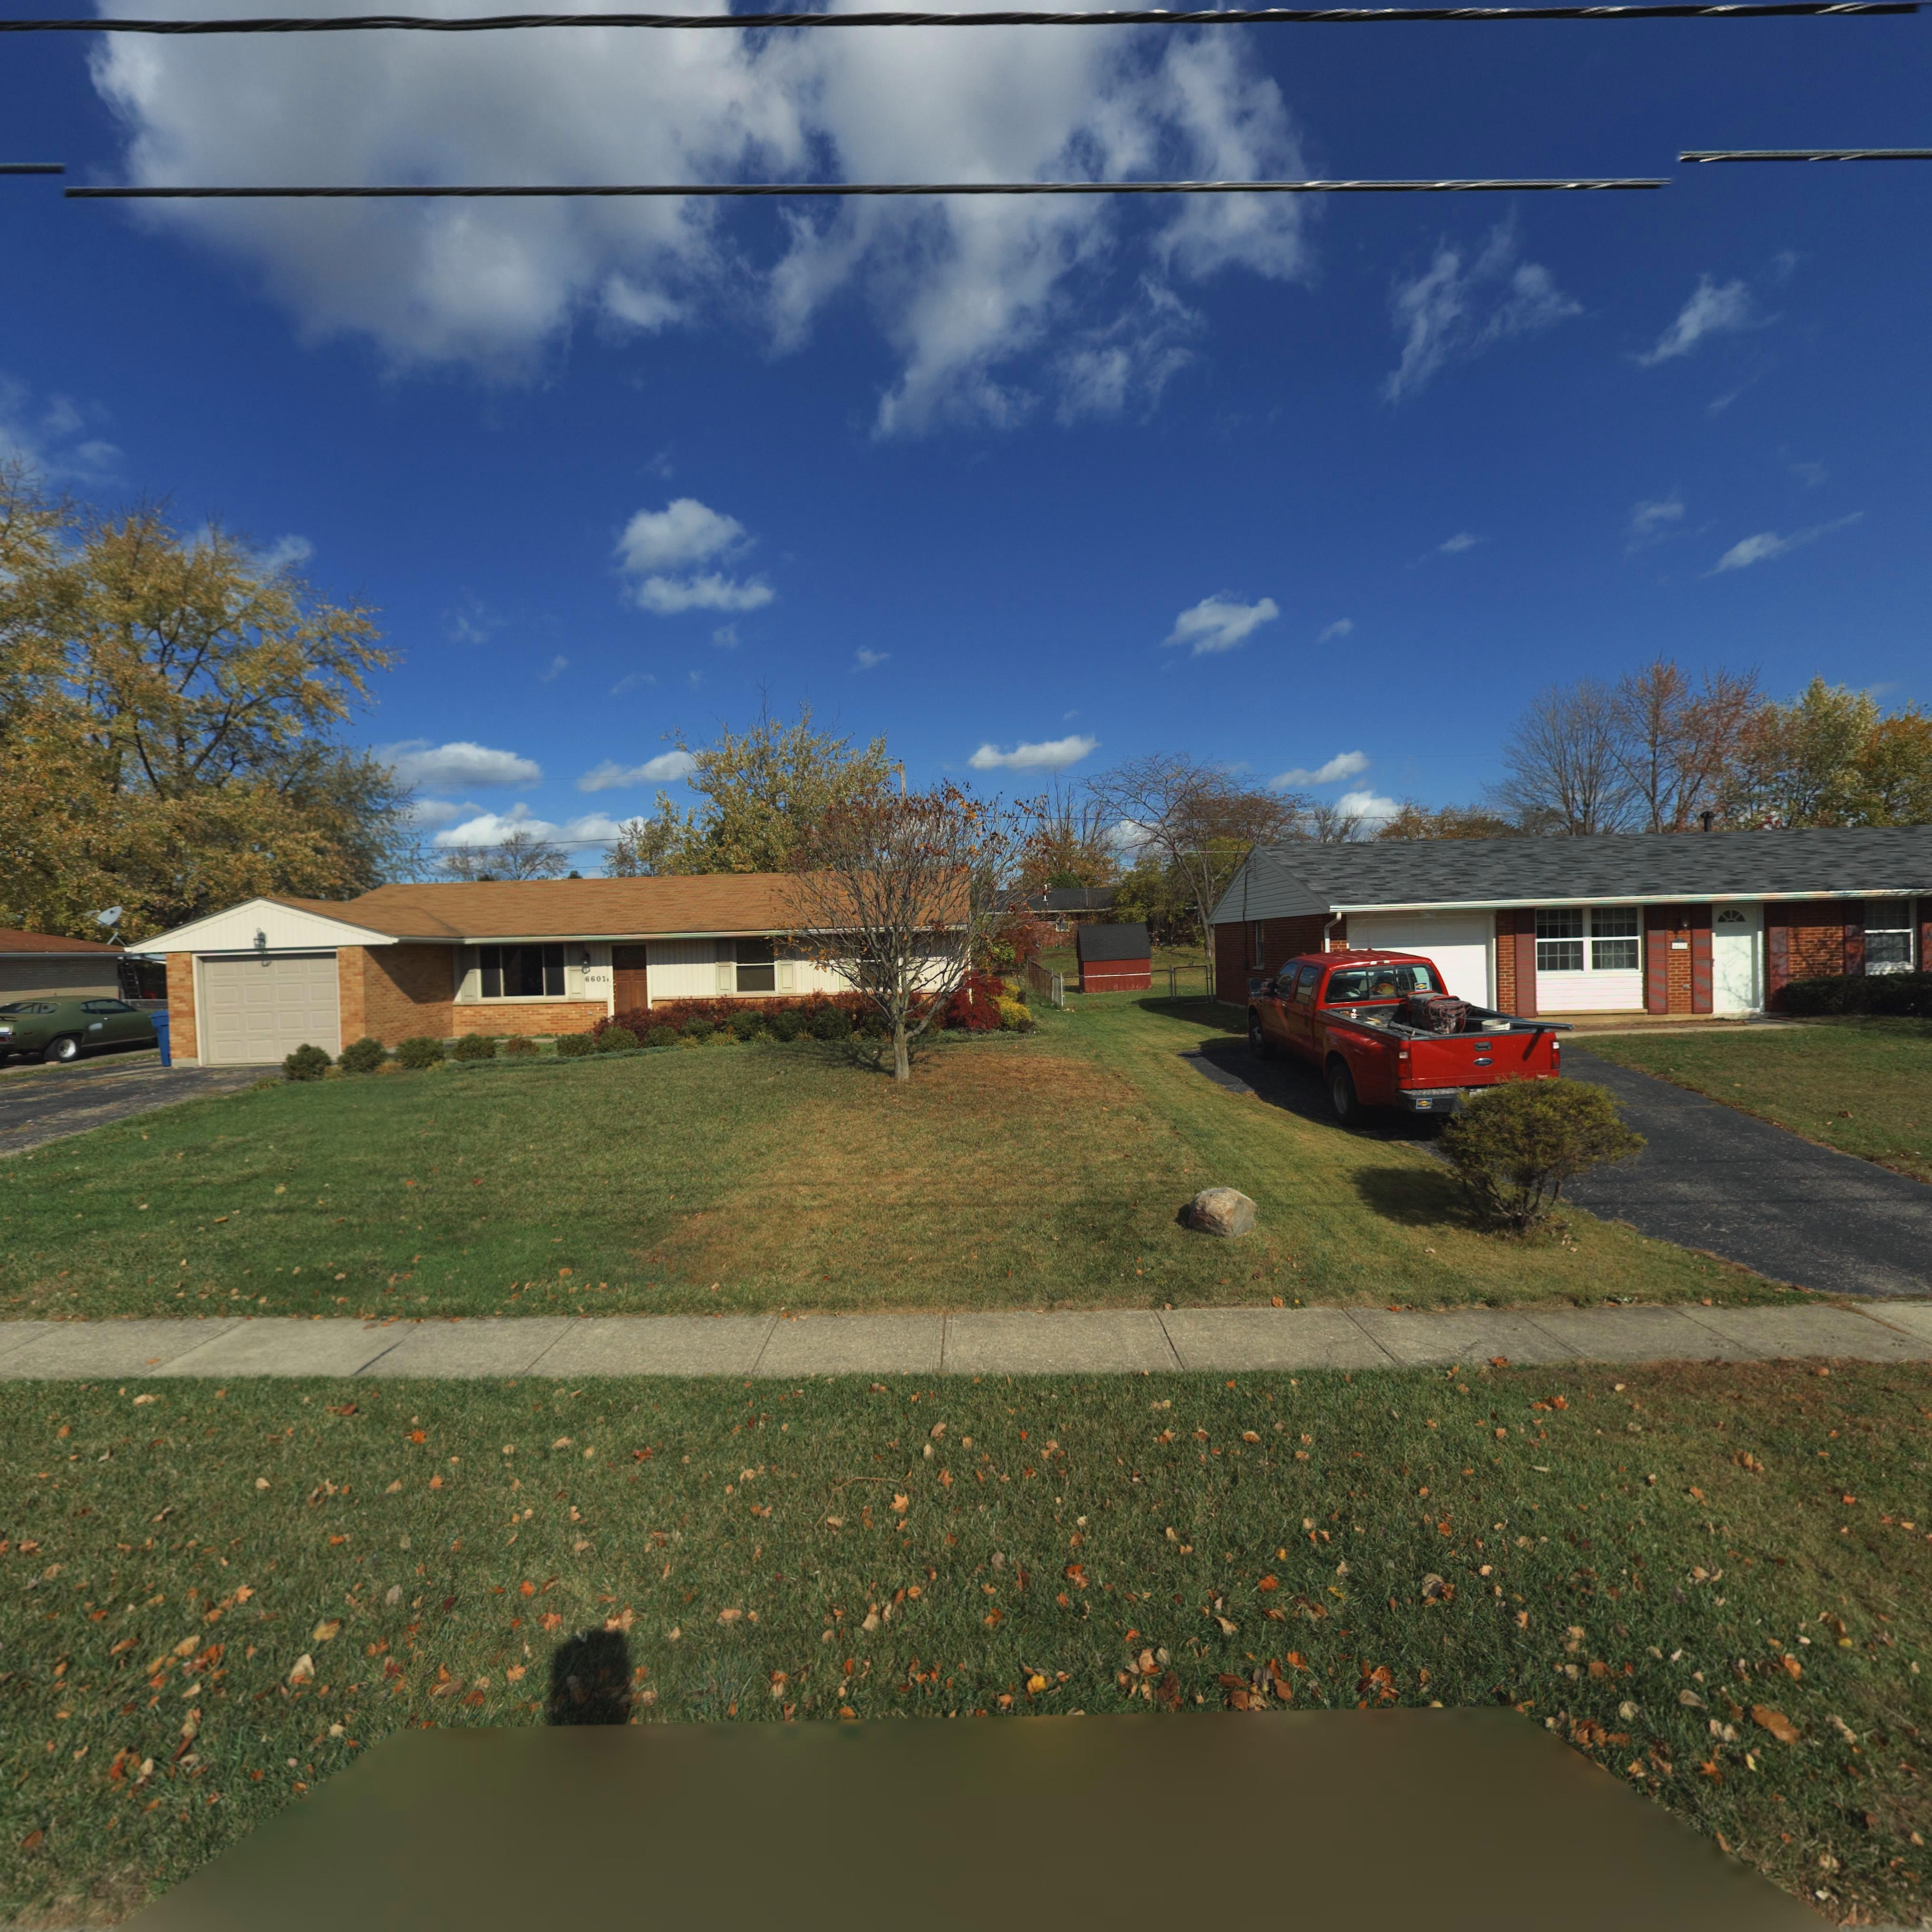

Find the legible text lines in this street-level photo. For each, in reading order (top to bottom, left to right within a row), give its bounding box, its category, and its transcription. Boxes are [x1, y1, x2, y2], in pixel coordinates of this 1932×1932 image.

[585, 976, 606, 983] StreetNumber: 6601